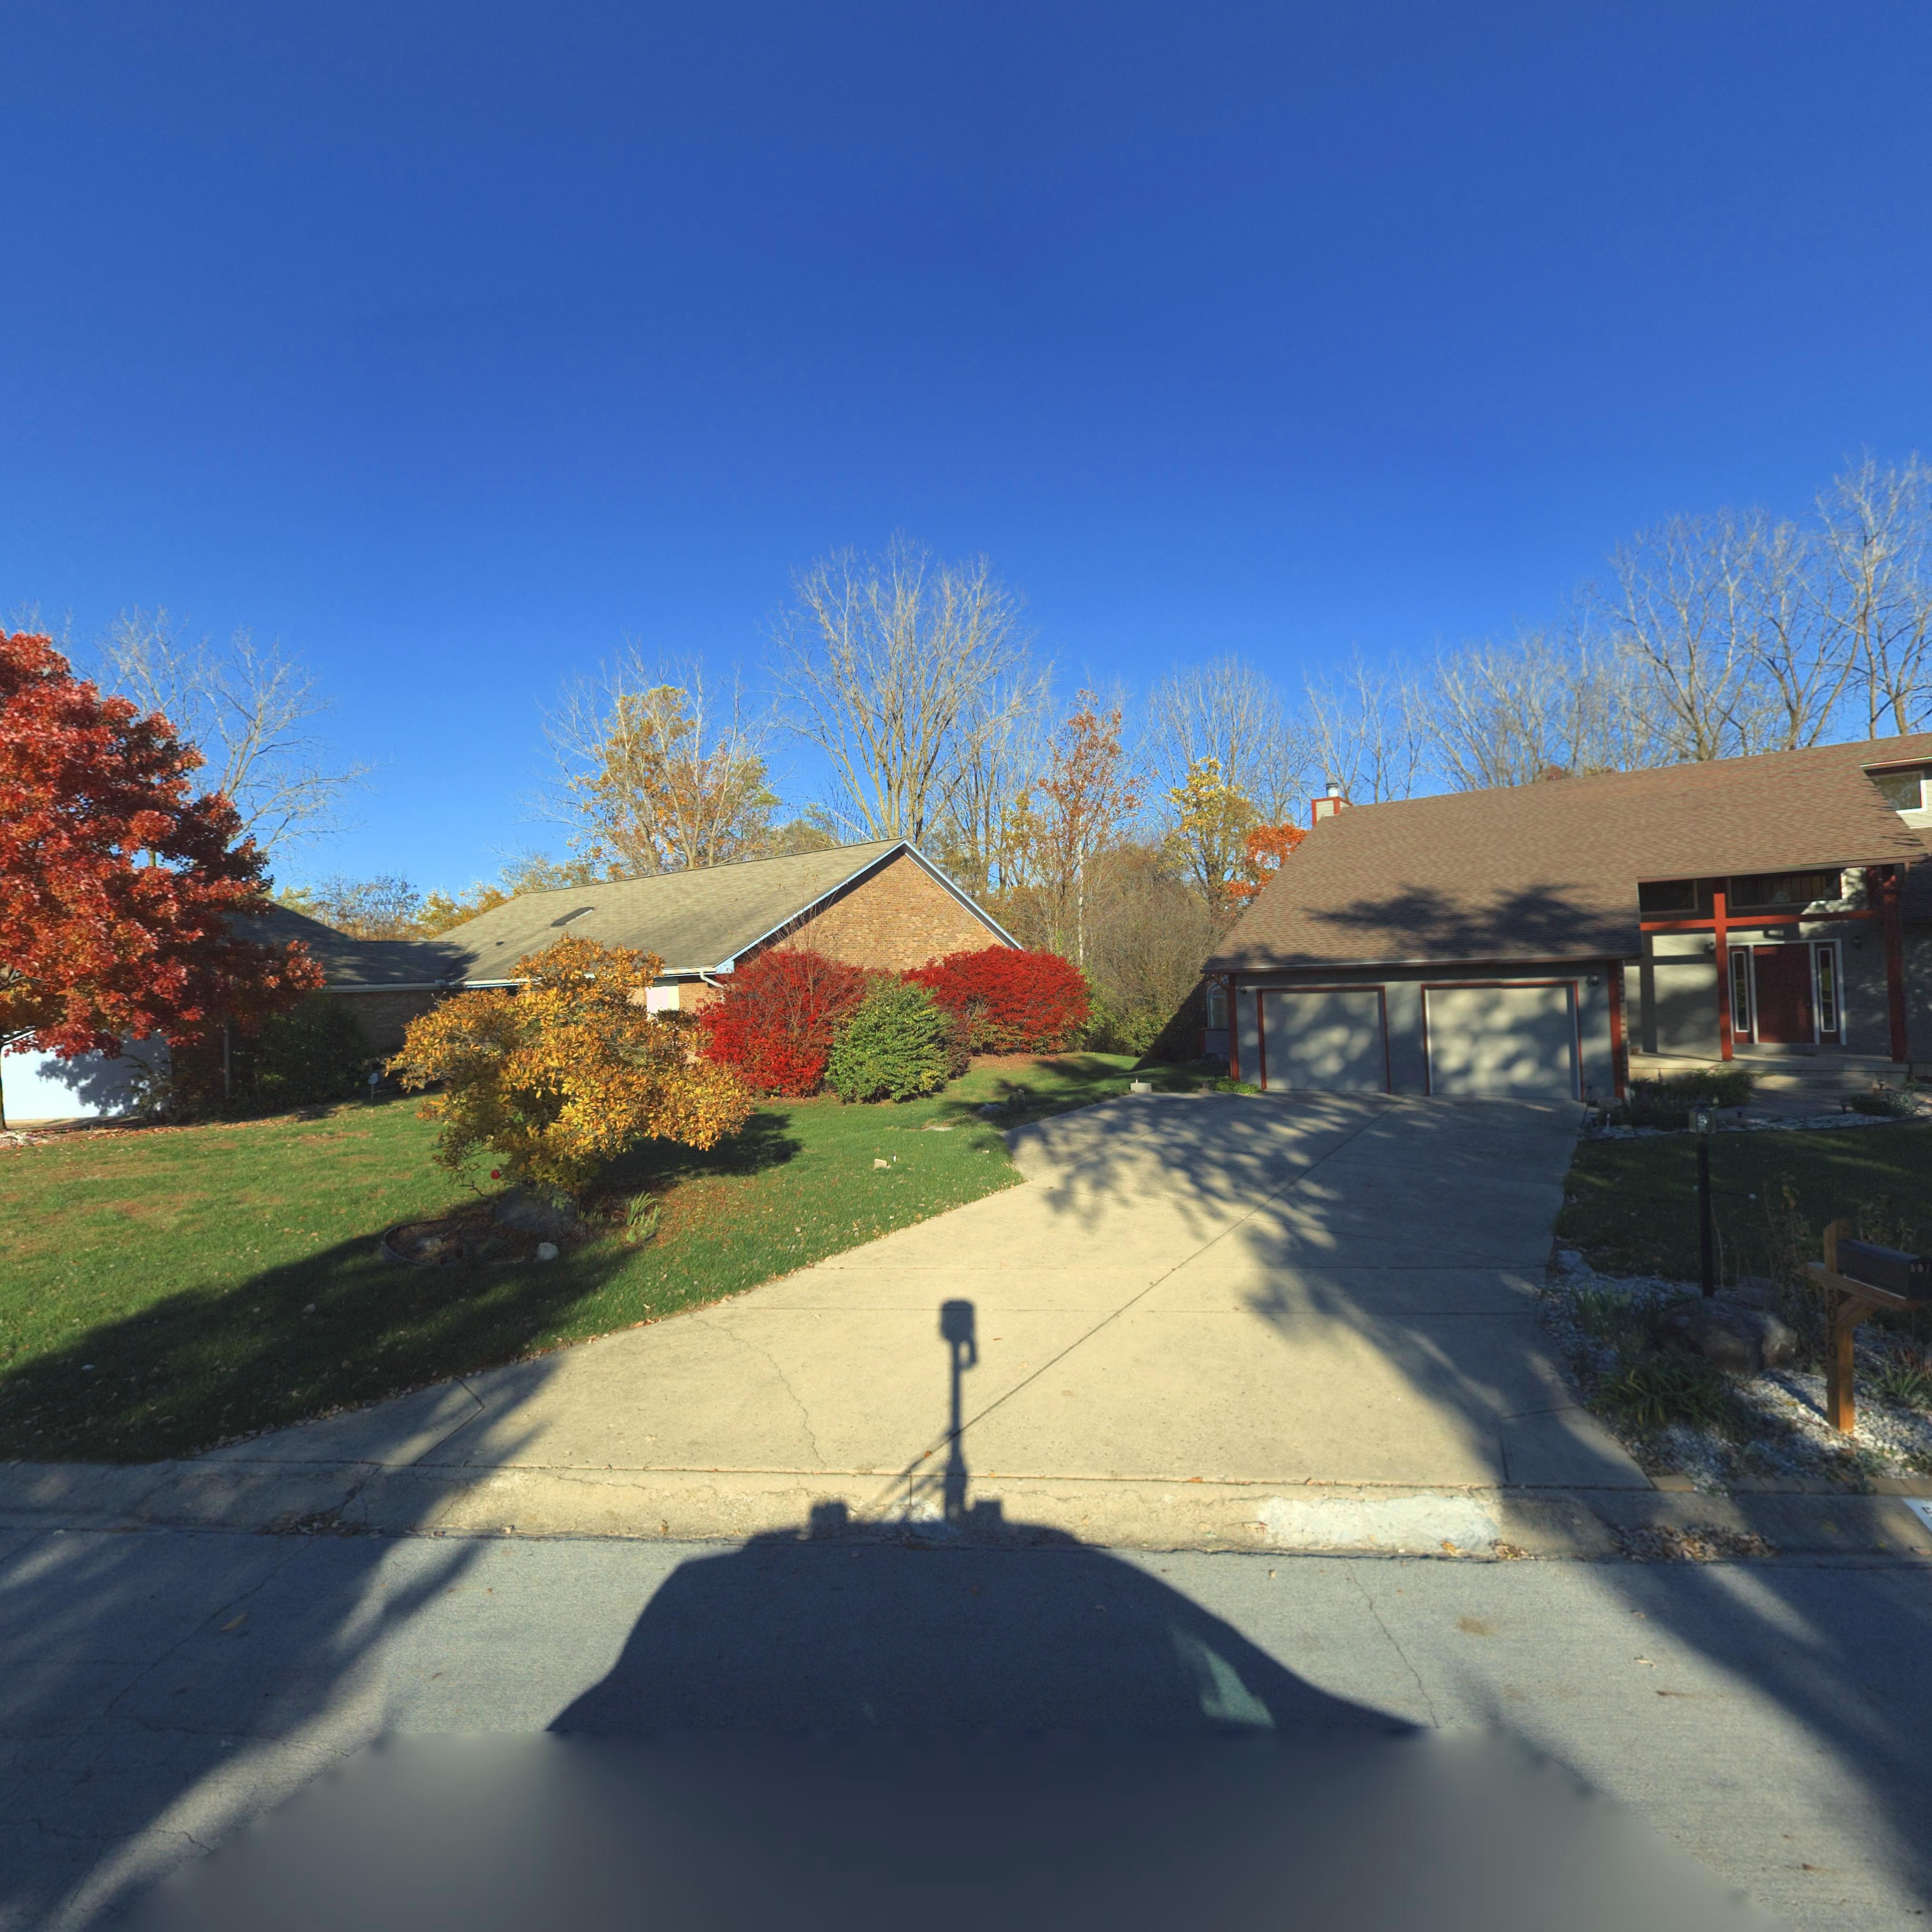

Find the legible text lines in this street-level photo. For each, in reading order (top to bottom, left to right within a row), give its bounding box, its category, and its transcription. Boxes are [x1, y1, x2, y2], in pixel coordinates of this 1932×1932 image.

[1909, 1263, 1932, 1275] StreetNumber: 507
[1826, 1288, 1838, 1362] StreetNumber: 5070